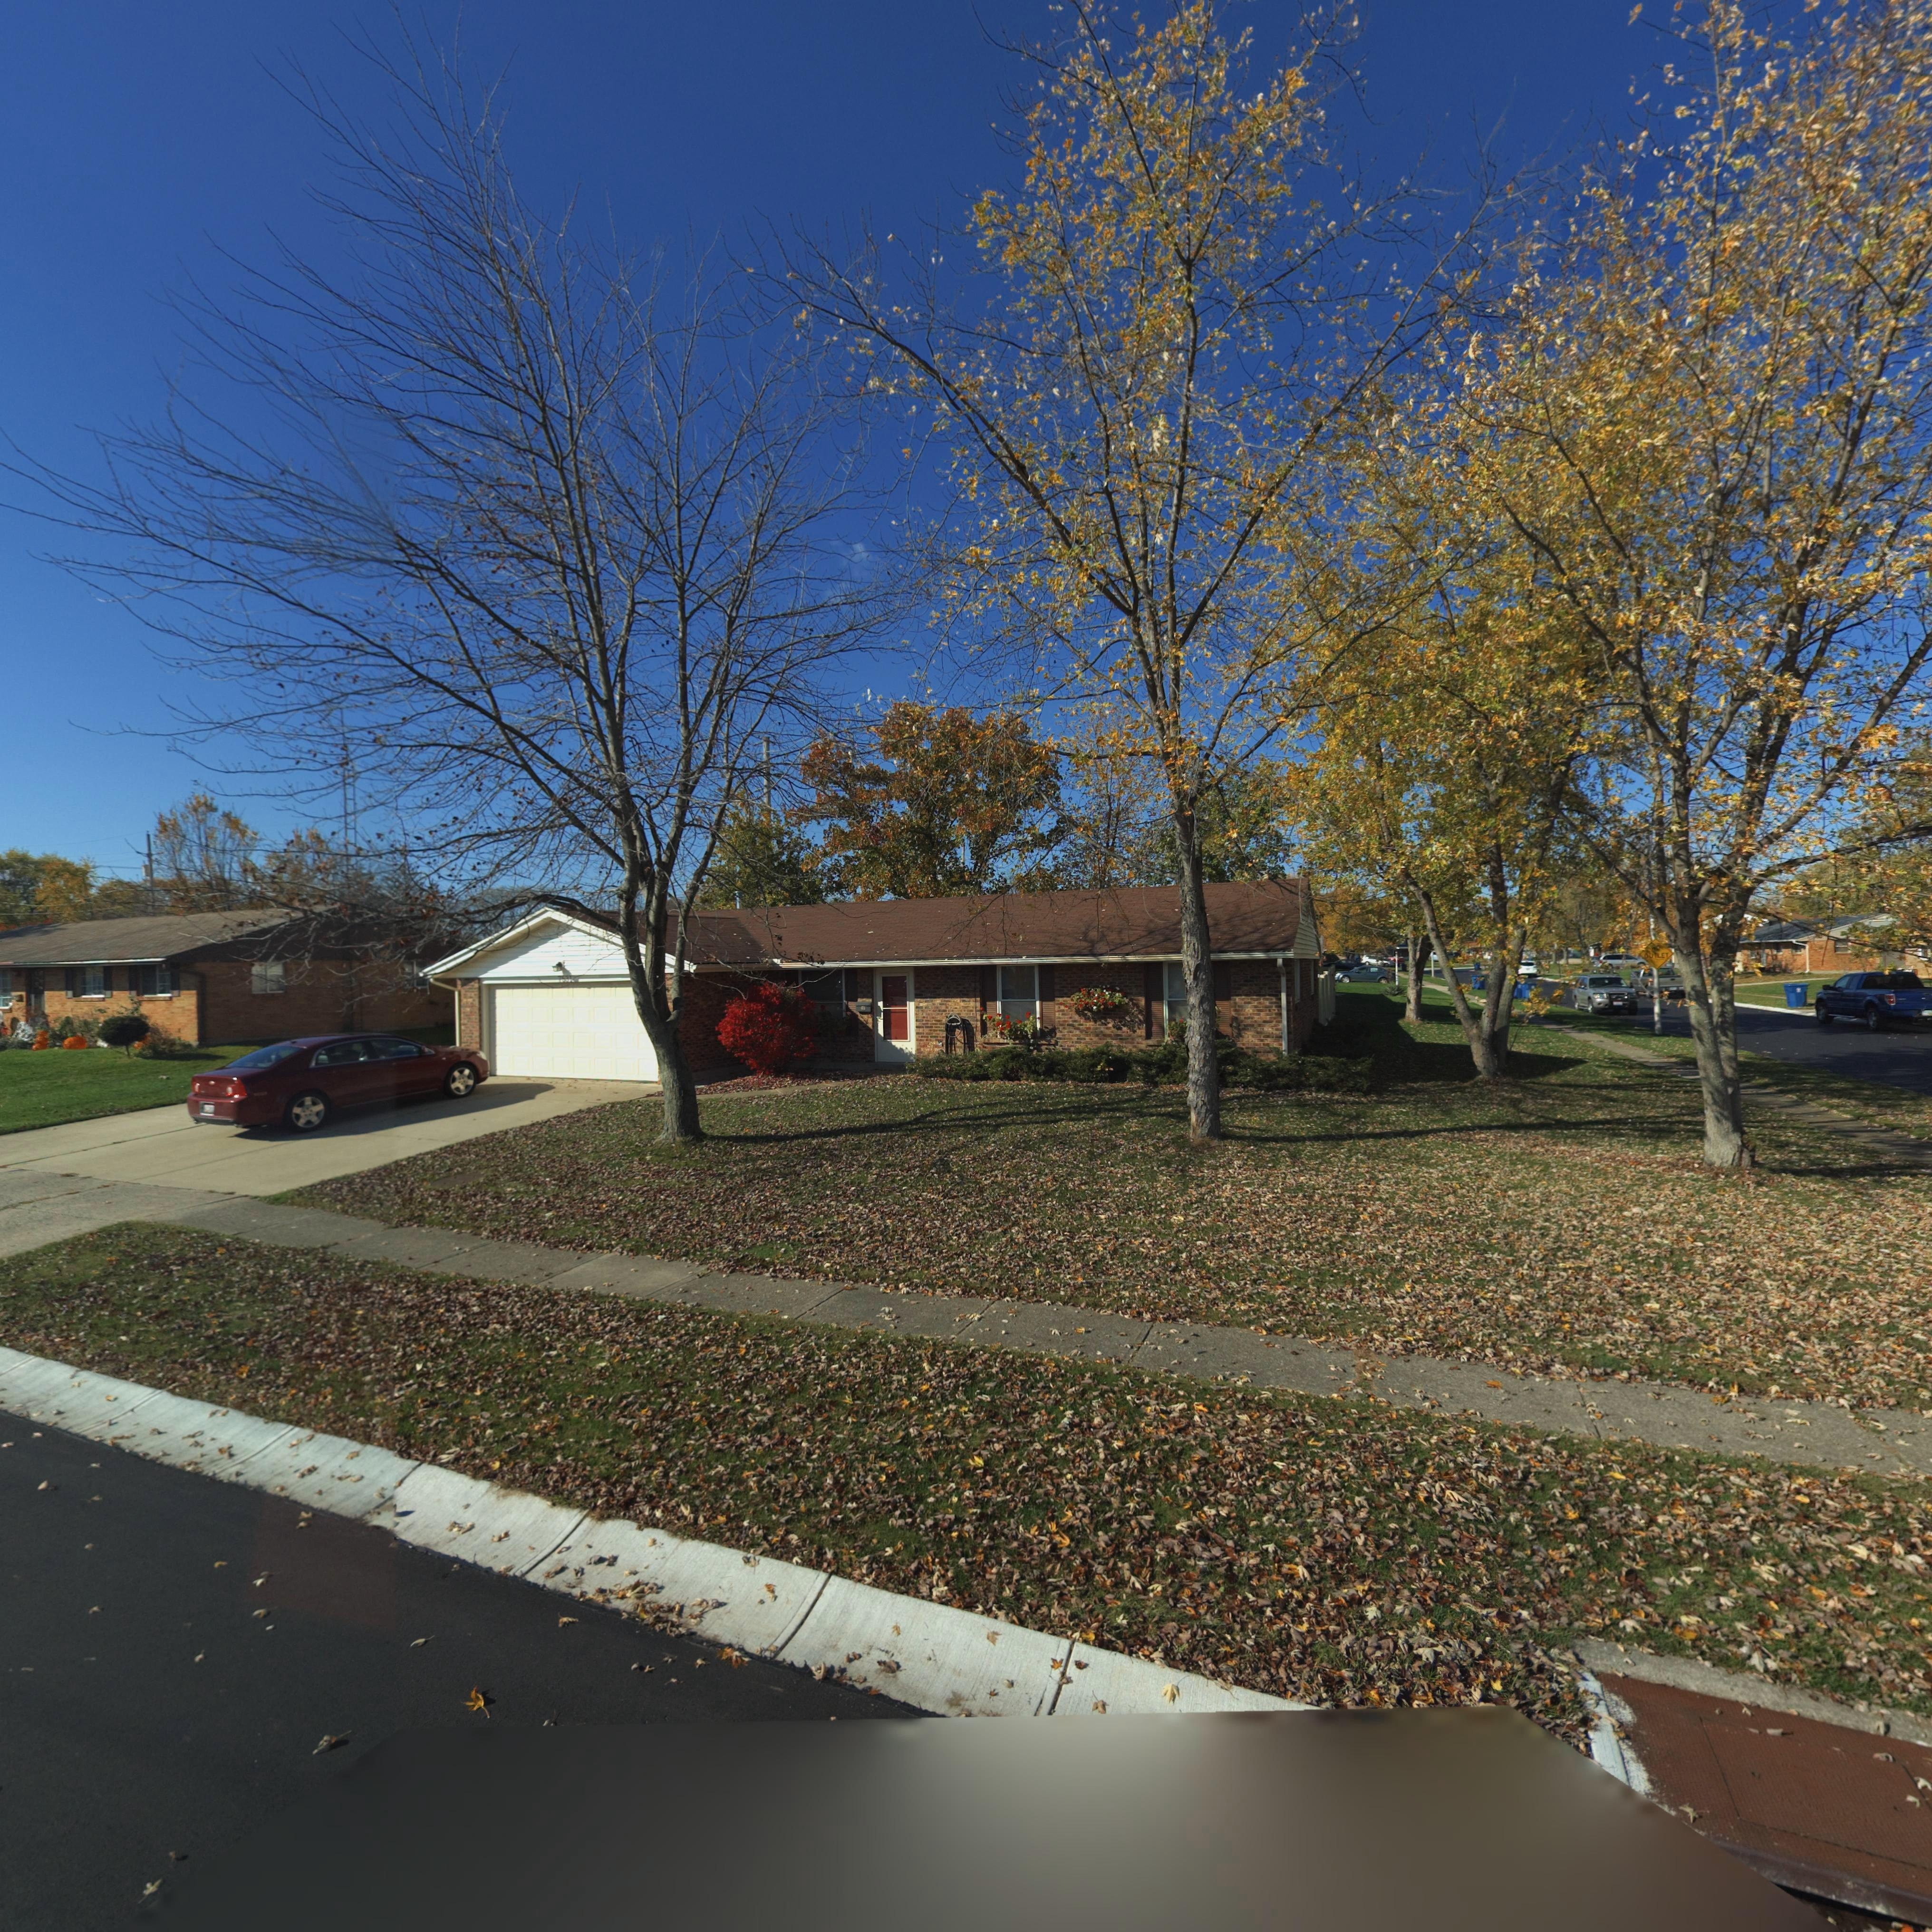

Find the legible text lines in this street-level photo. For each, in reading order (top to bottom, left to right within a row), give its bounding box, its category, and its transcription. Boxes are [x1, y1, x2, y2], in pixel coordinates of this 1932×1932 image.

[557, 975, 573, 983] StreetNumber: 7531